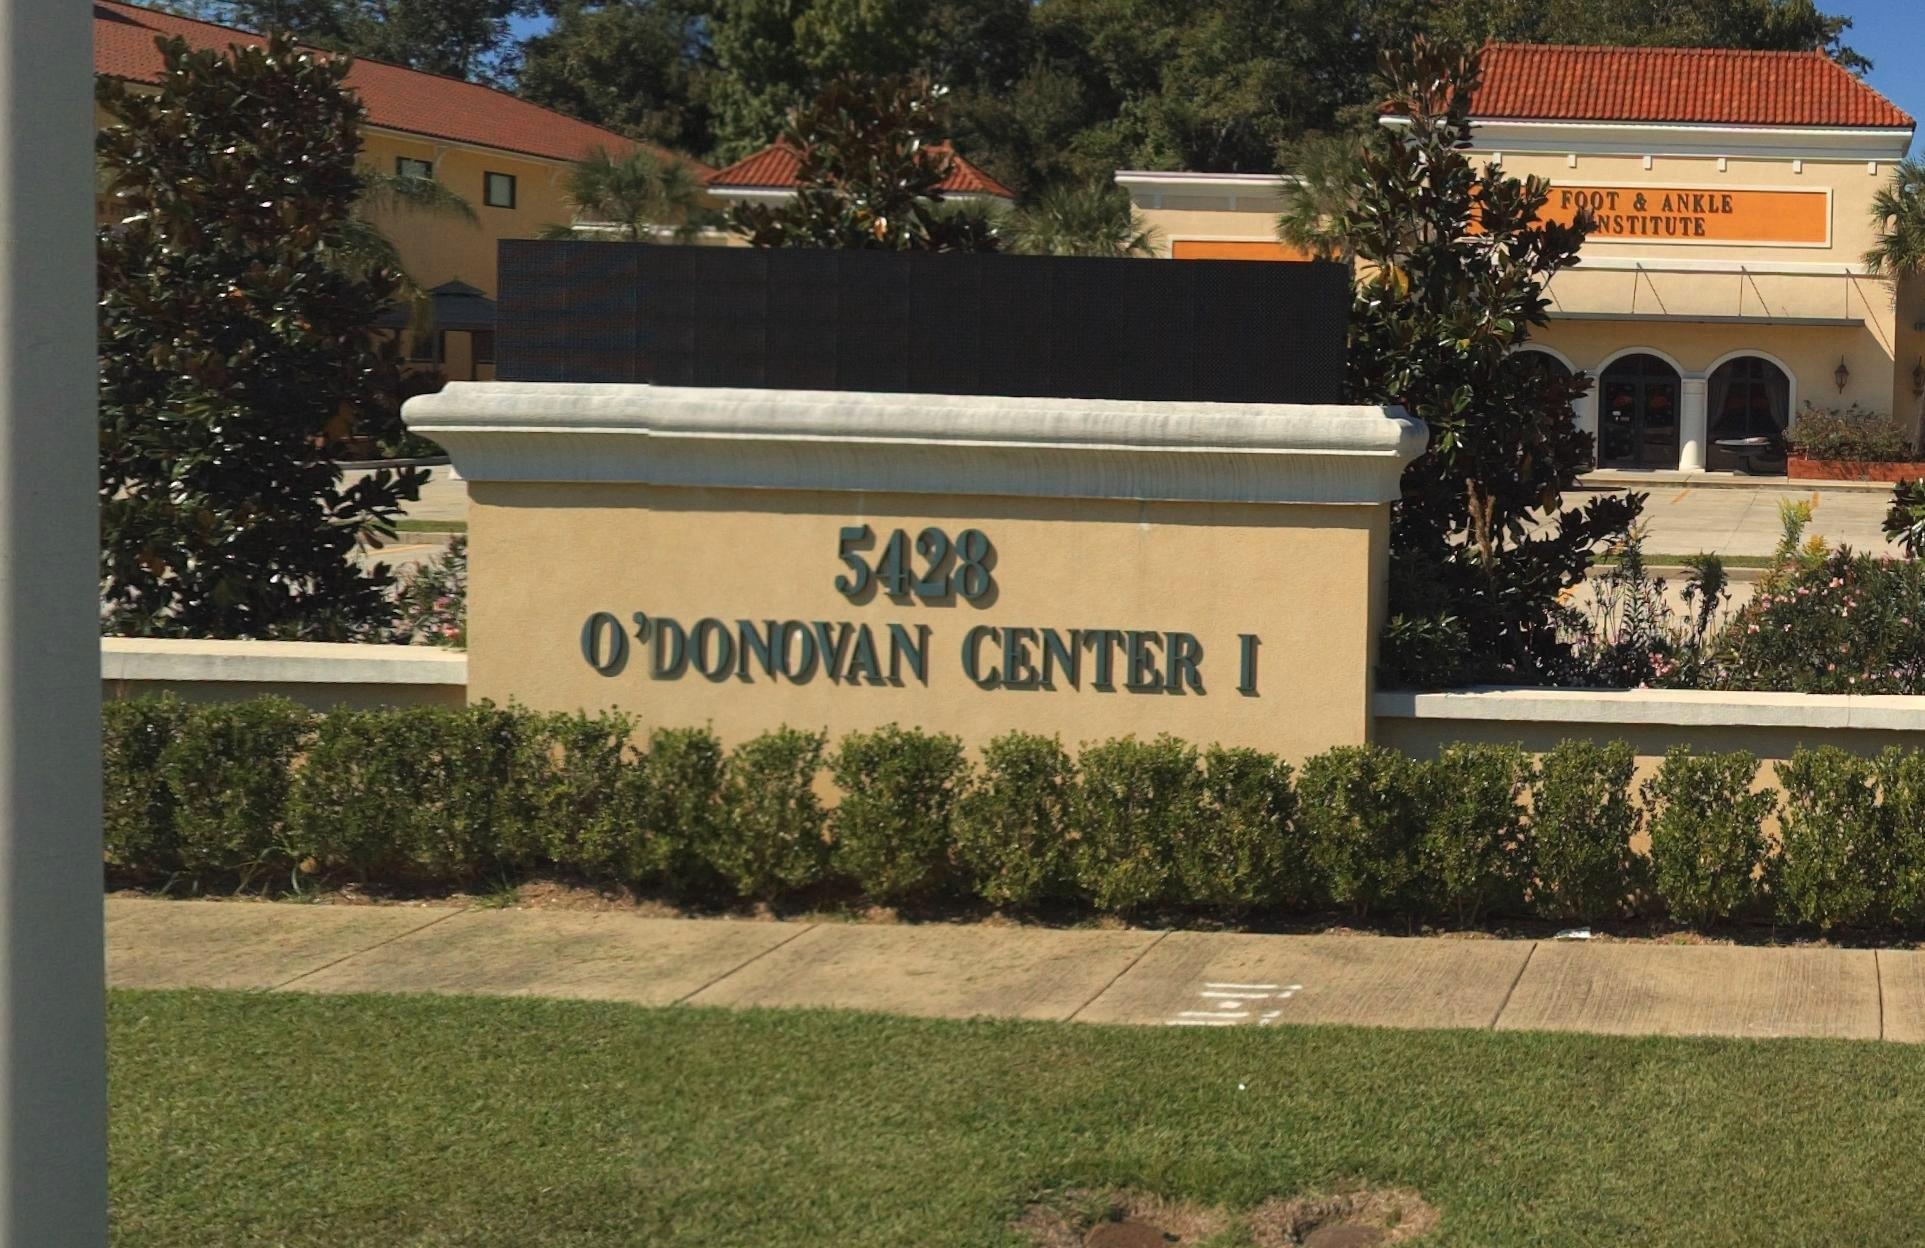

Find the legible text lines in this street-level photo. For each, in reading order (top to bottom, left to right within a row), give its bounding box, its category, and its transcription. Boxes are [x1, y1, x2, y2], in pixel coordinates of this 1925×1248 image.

[1559, 189, 1735, 215] BusinessName: FOOT & ANKLE
[1596, 213, 1707, 237] BusinessName: NSTITUTE
[833, 522, 992, 602] StreetNumber: 5428
[576, 610, 1263, 692] BusinessName: O'DONOVAN CENTER I
[1163, 982, 1279, 1026] None: 11-11